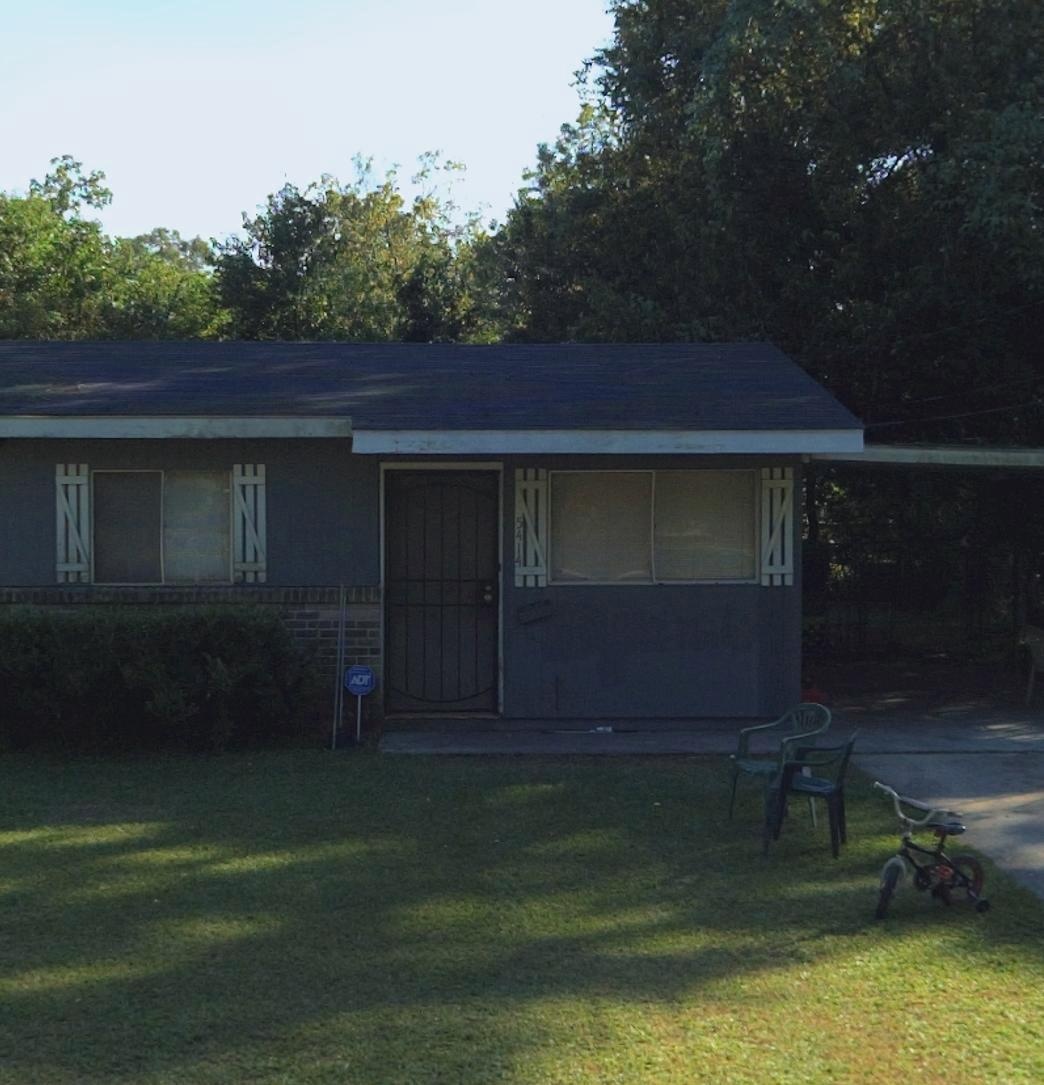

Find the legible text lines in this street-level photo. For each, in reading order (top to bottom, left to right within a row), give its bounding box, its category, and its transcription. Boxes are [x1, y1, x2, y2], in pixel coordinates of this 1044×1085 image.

[514, 516, 524, 568] StreetNumber: 5414
[348, 674, 371, 685] None: ADT